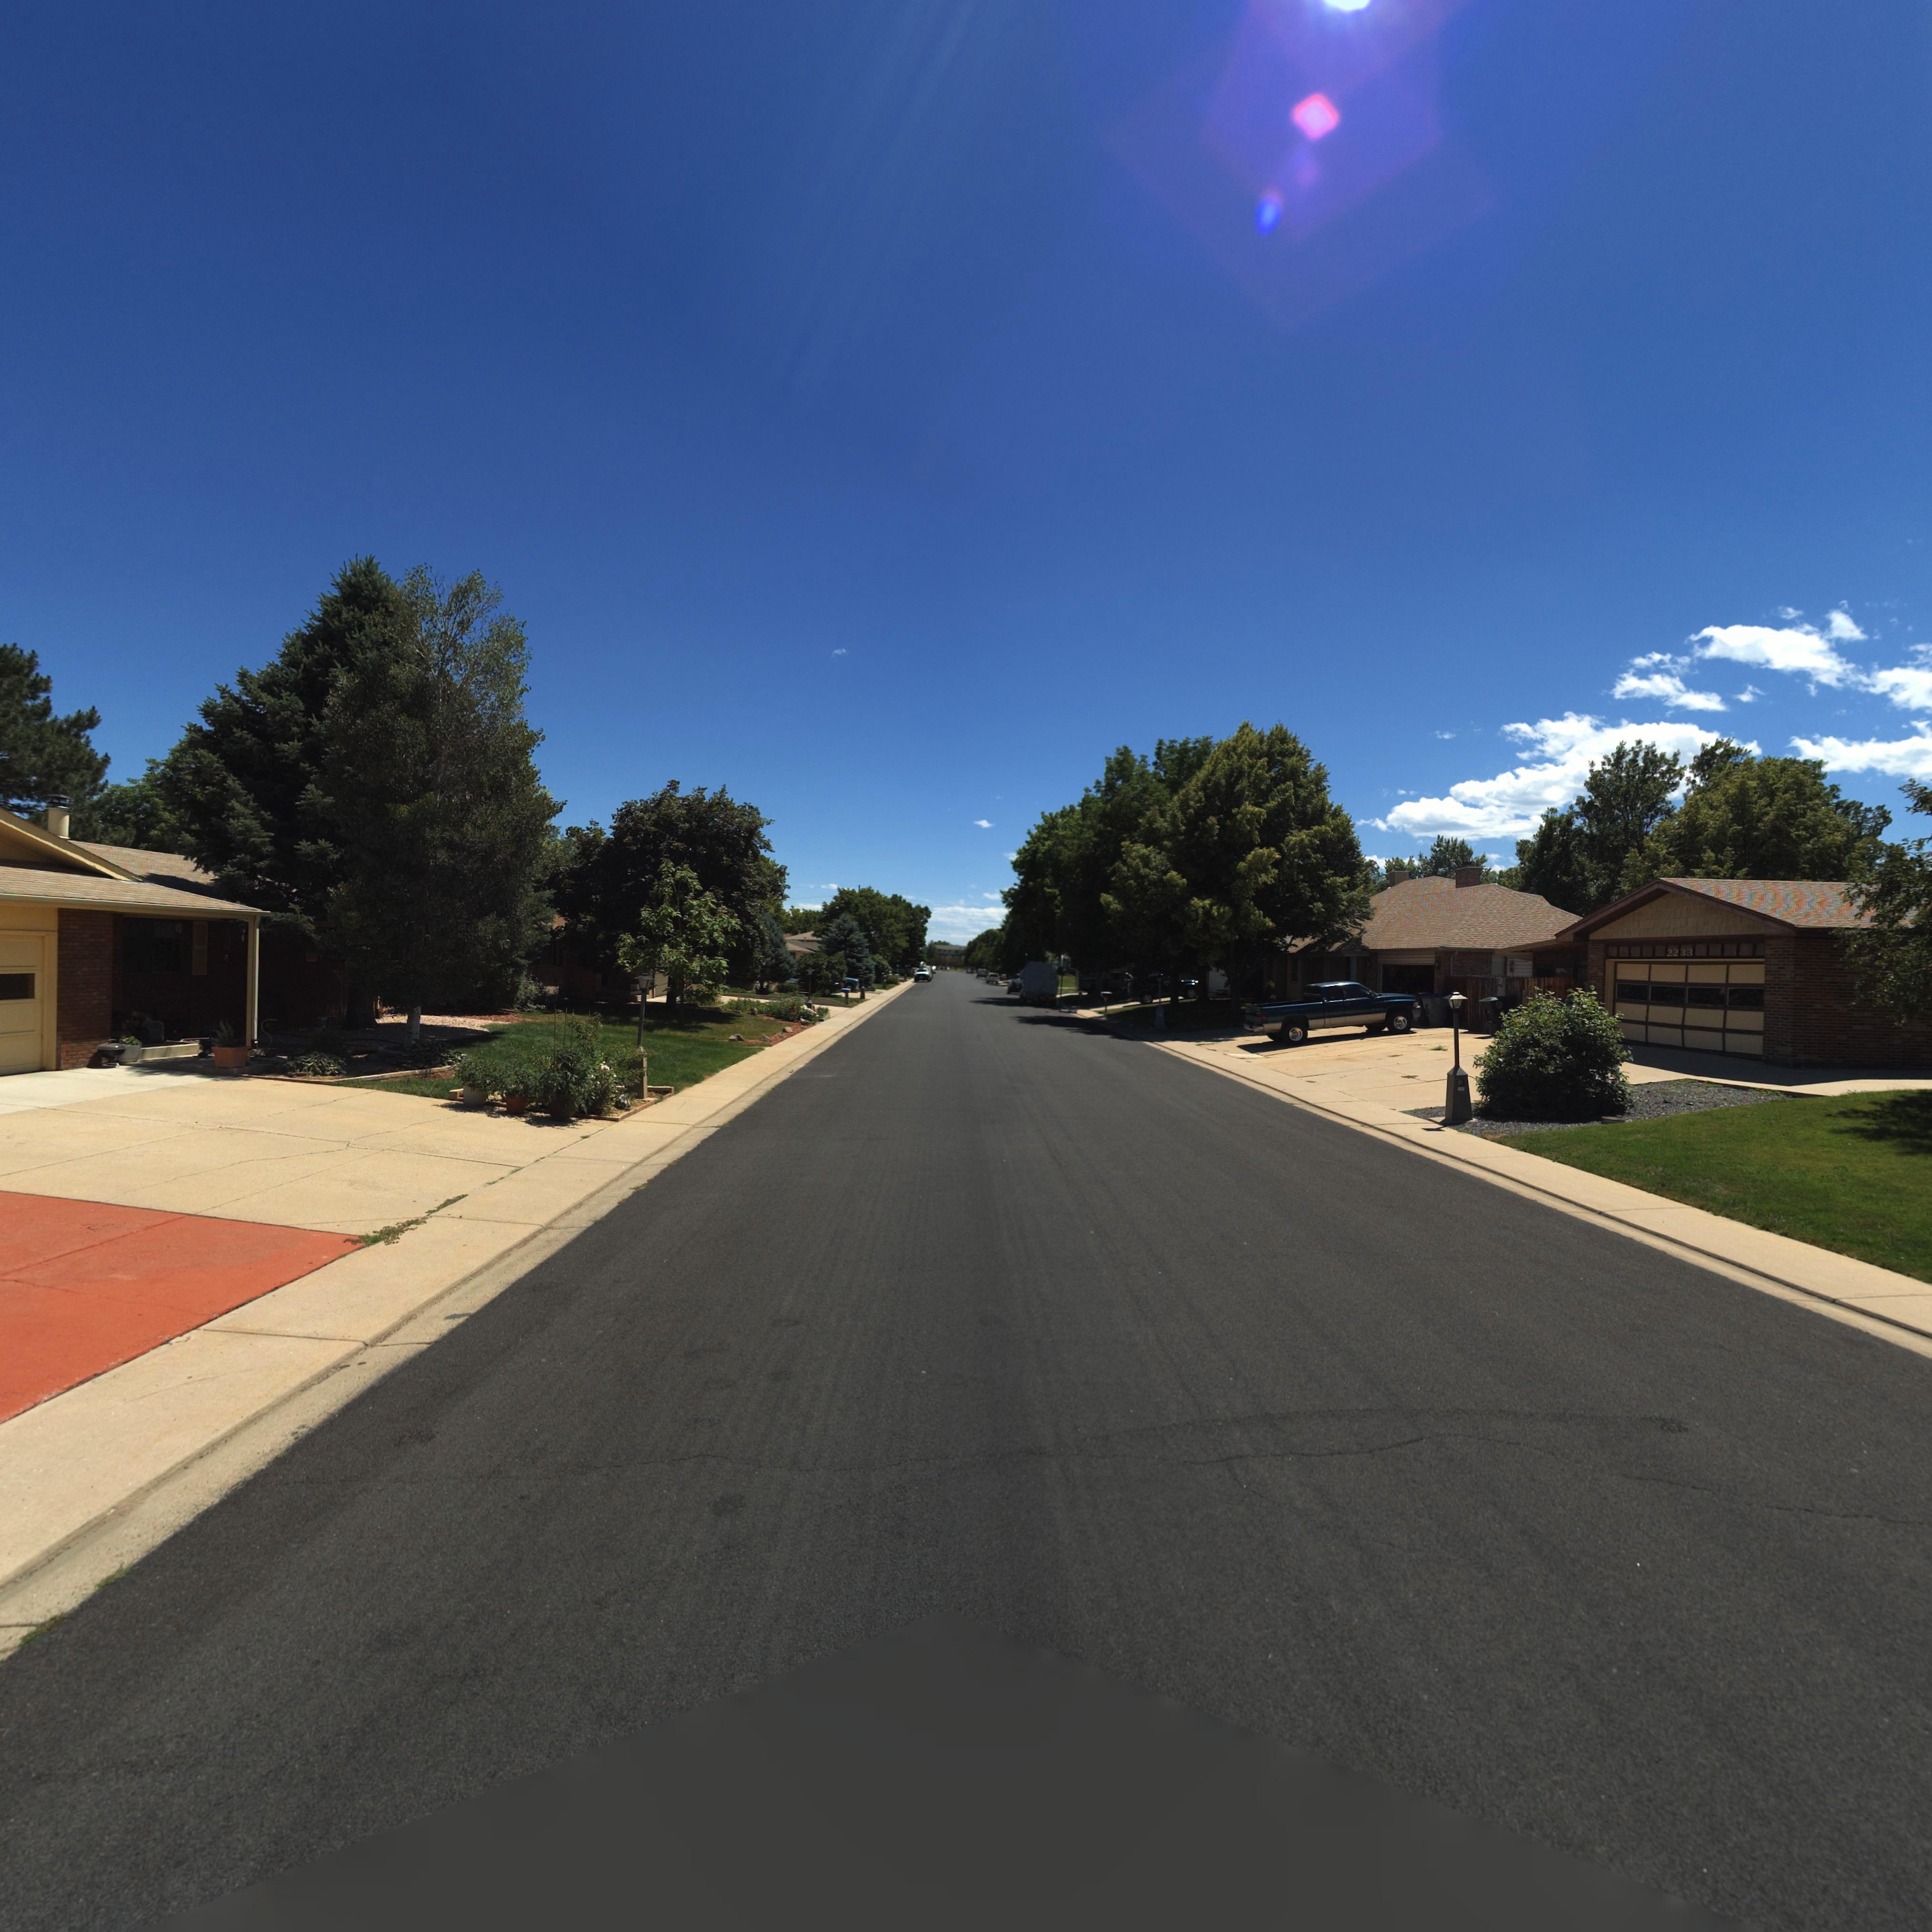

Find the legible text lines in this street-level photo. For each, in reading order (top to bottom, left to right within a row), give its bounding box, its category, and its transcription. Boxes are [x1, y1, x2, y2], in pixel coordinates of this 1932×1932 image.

[1666, 948, 1693, 956] StreetNumber: 2233